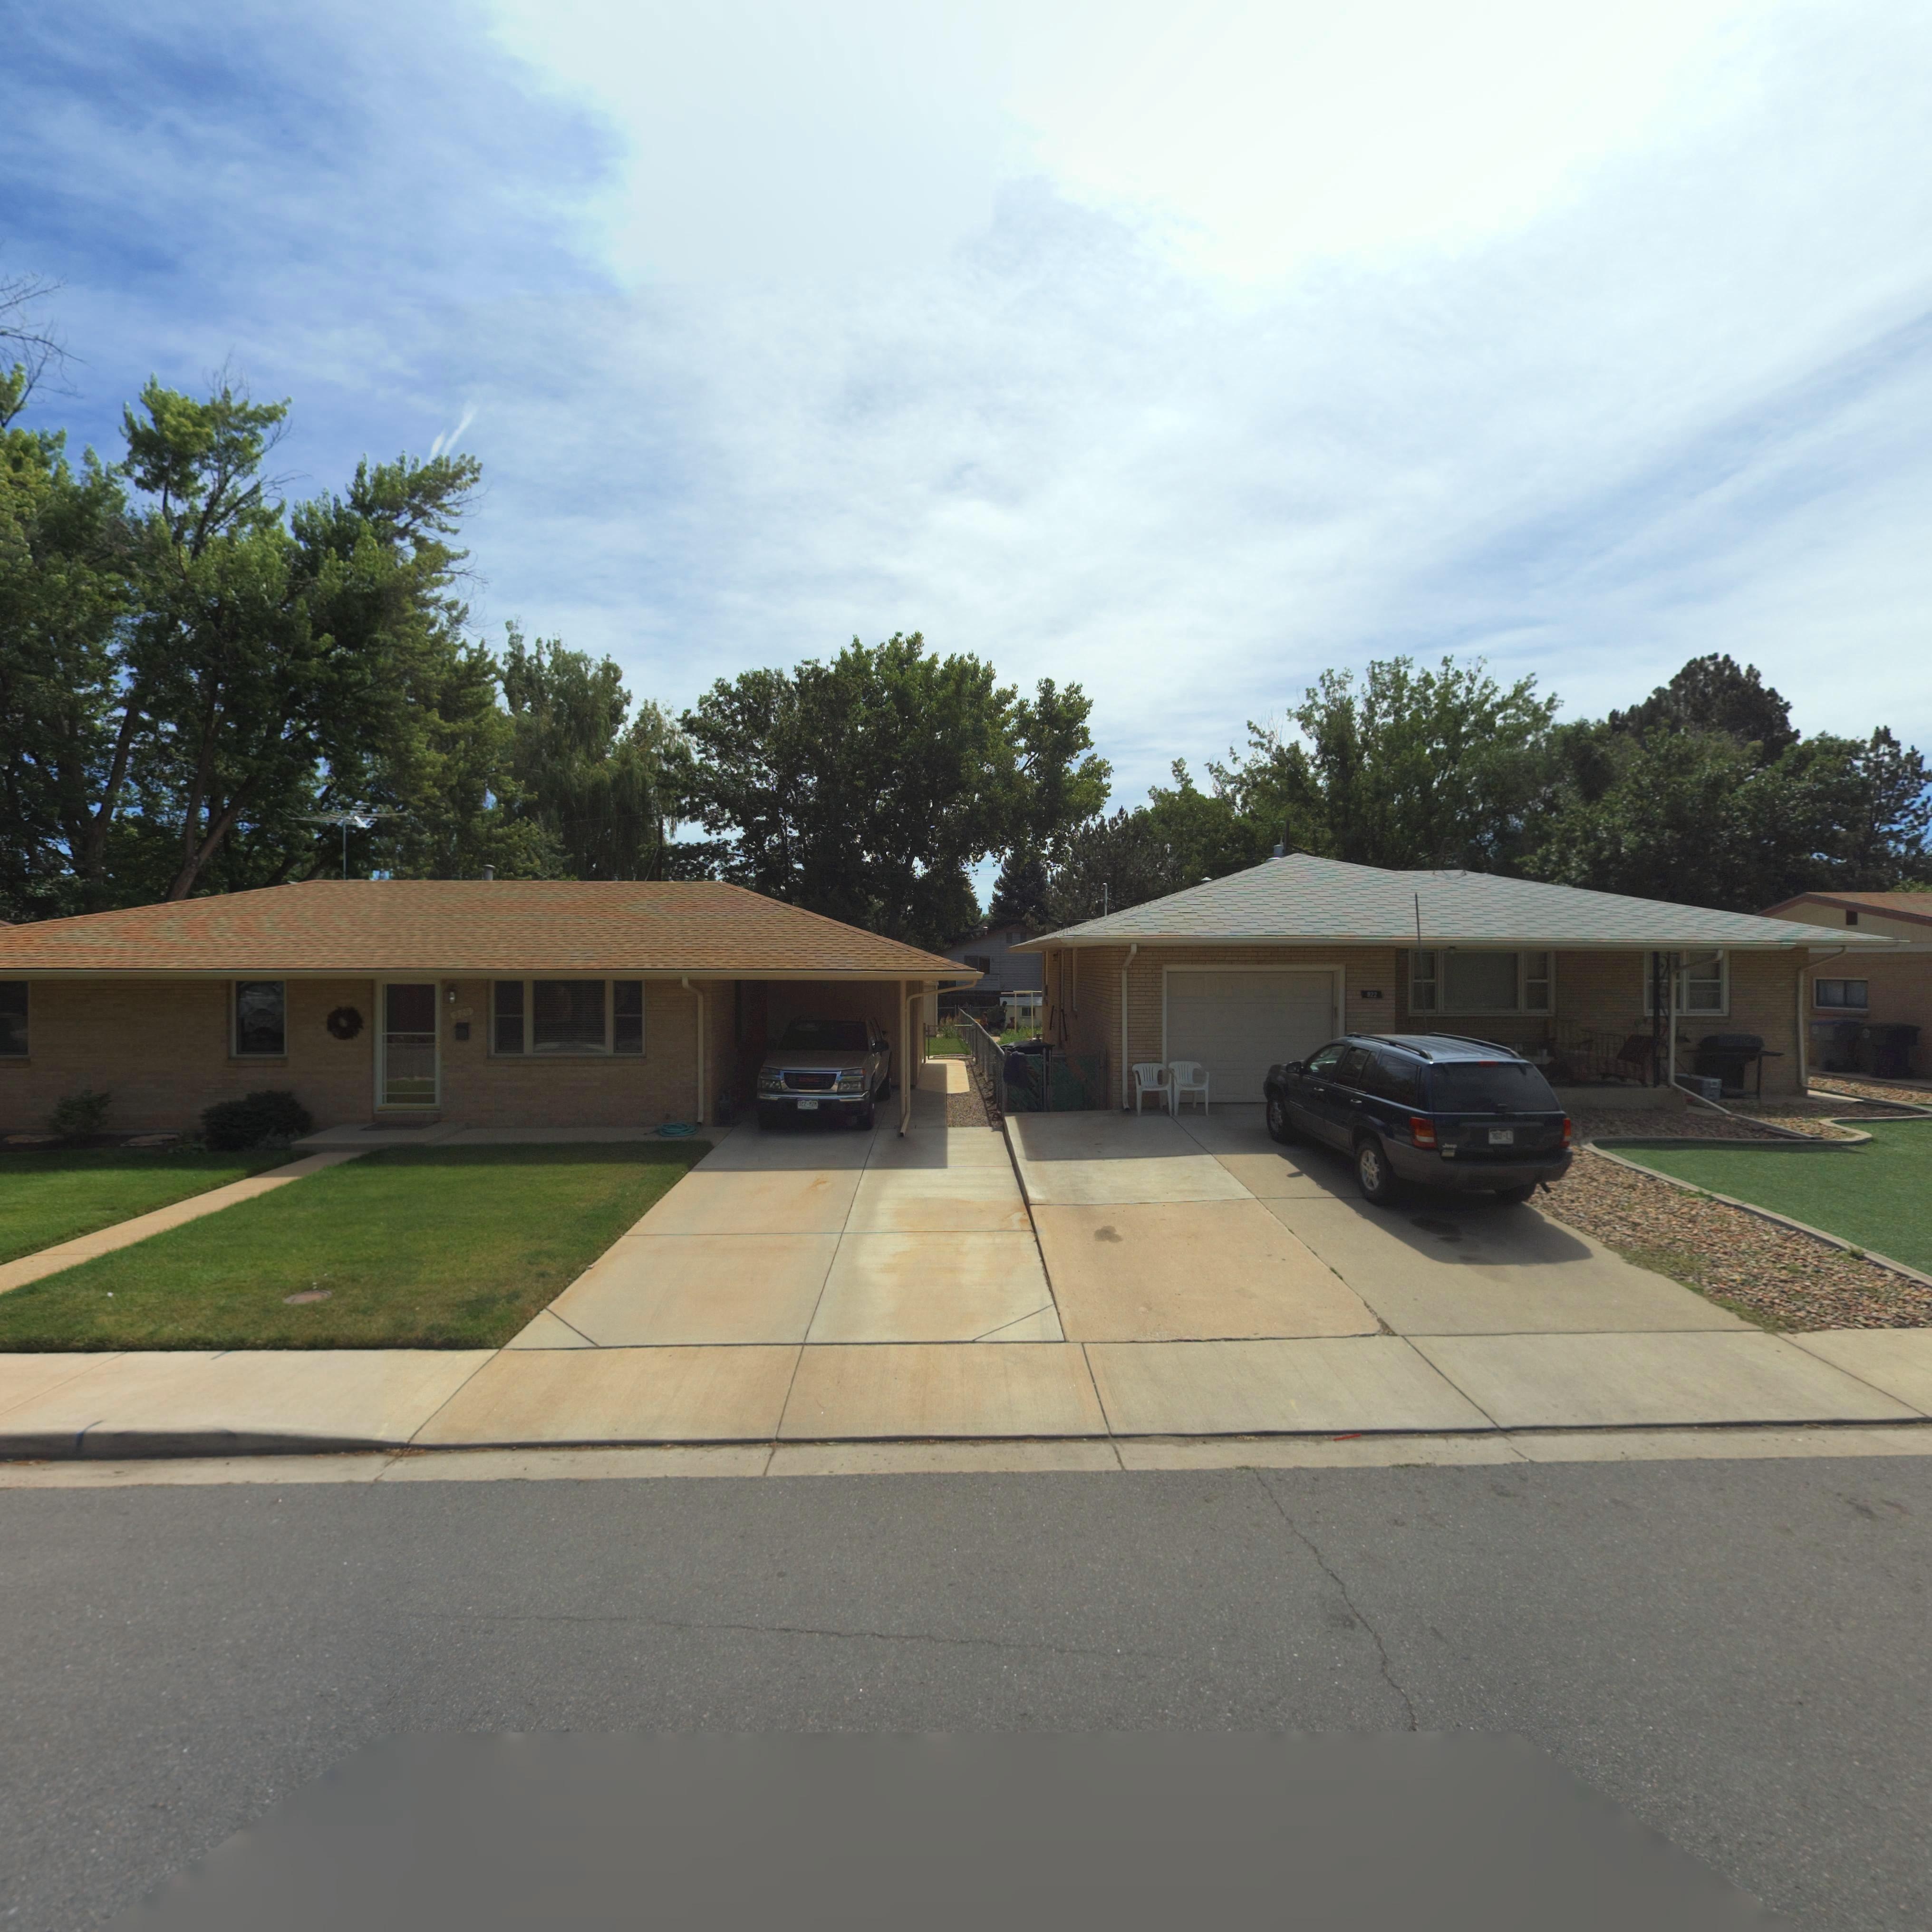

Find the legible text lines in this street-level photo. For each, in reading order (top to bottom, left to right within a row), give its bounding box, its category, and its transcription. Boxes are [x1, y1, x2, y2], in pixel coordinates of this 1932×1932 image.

[1366, 992, 1378, 997] StreetNumber: 912
[453, 1007, 471, 1019] StreetNumber: 9**